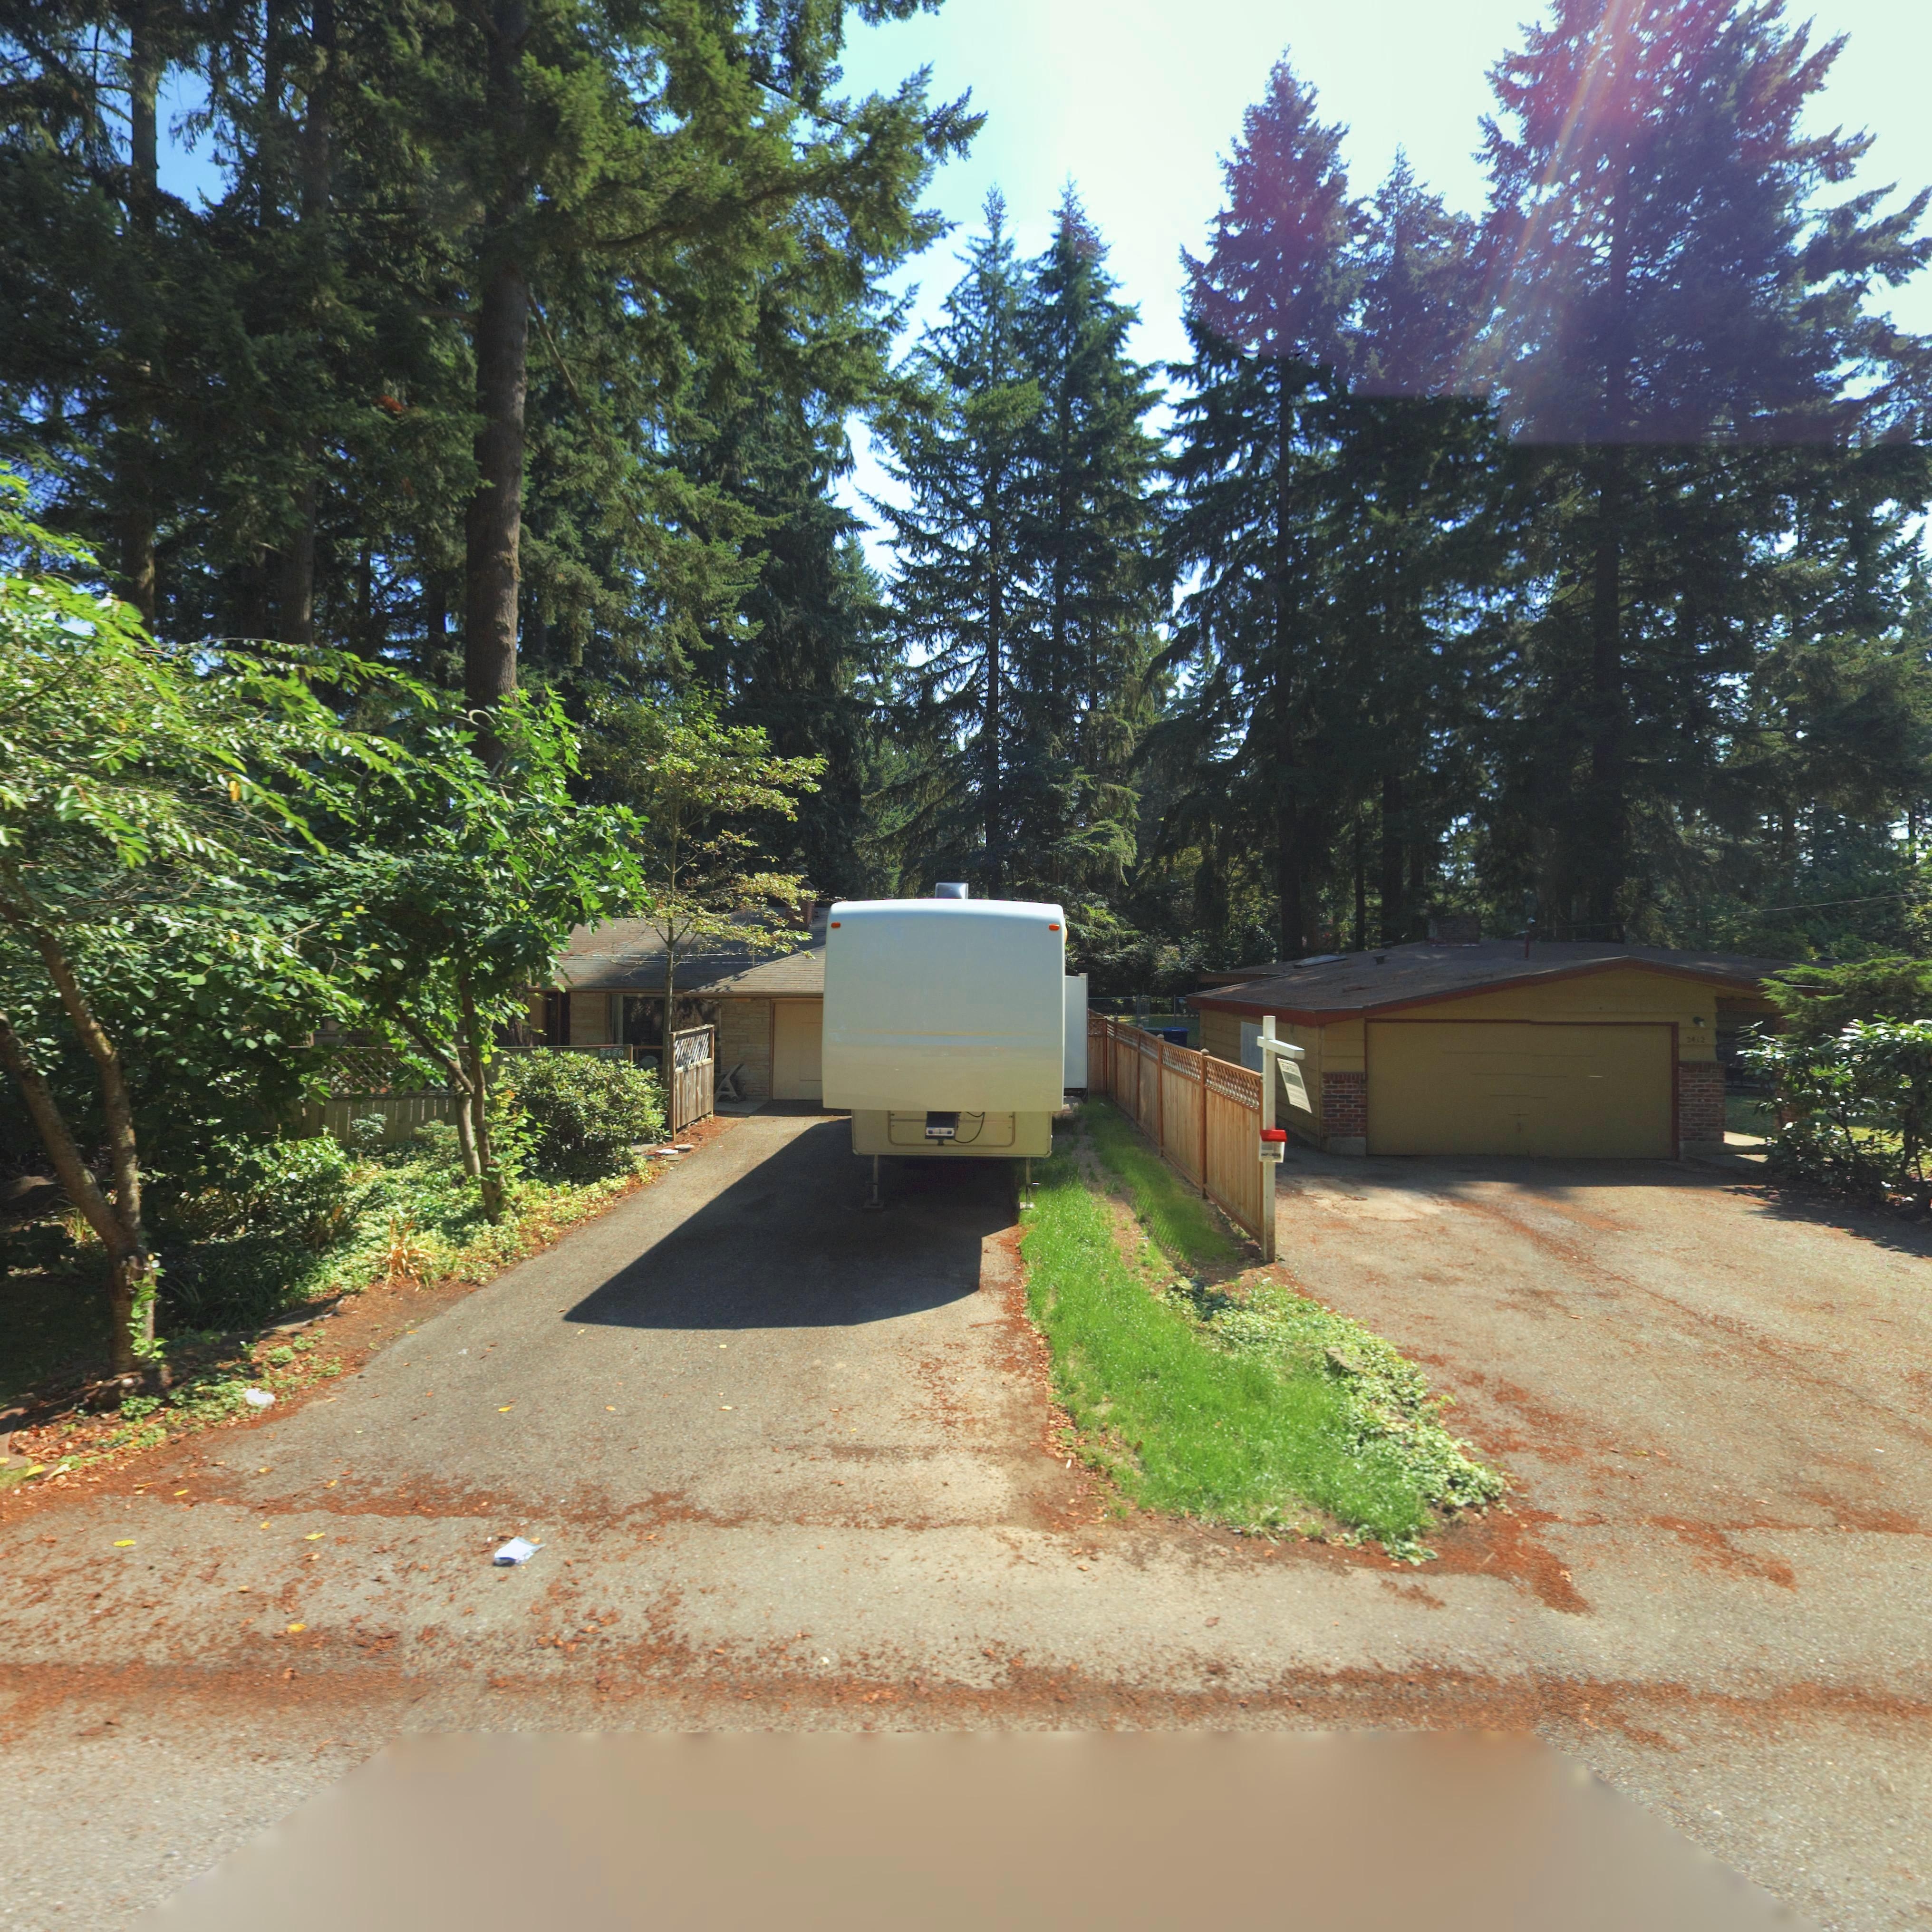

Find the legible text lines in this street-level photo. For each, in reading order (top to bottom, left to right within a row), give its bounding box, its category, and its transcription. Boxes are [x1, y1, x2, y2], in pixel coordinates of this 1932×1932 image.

[1686, 1035, 1706, 1043] StreetNumber: 2412
[599, 1049, 625, 1057] StreetNumber: 2420